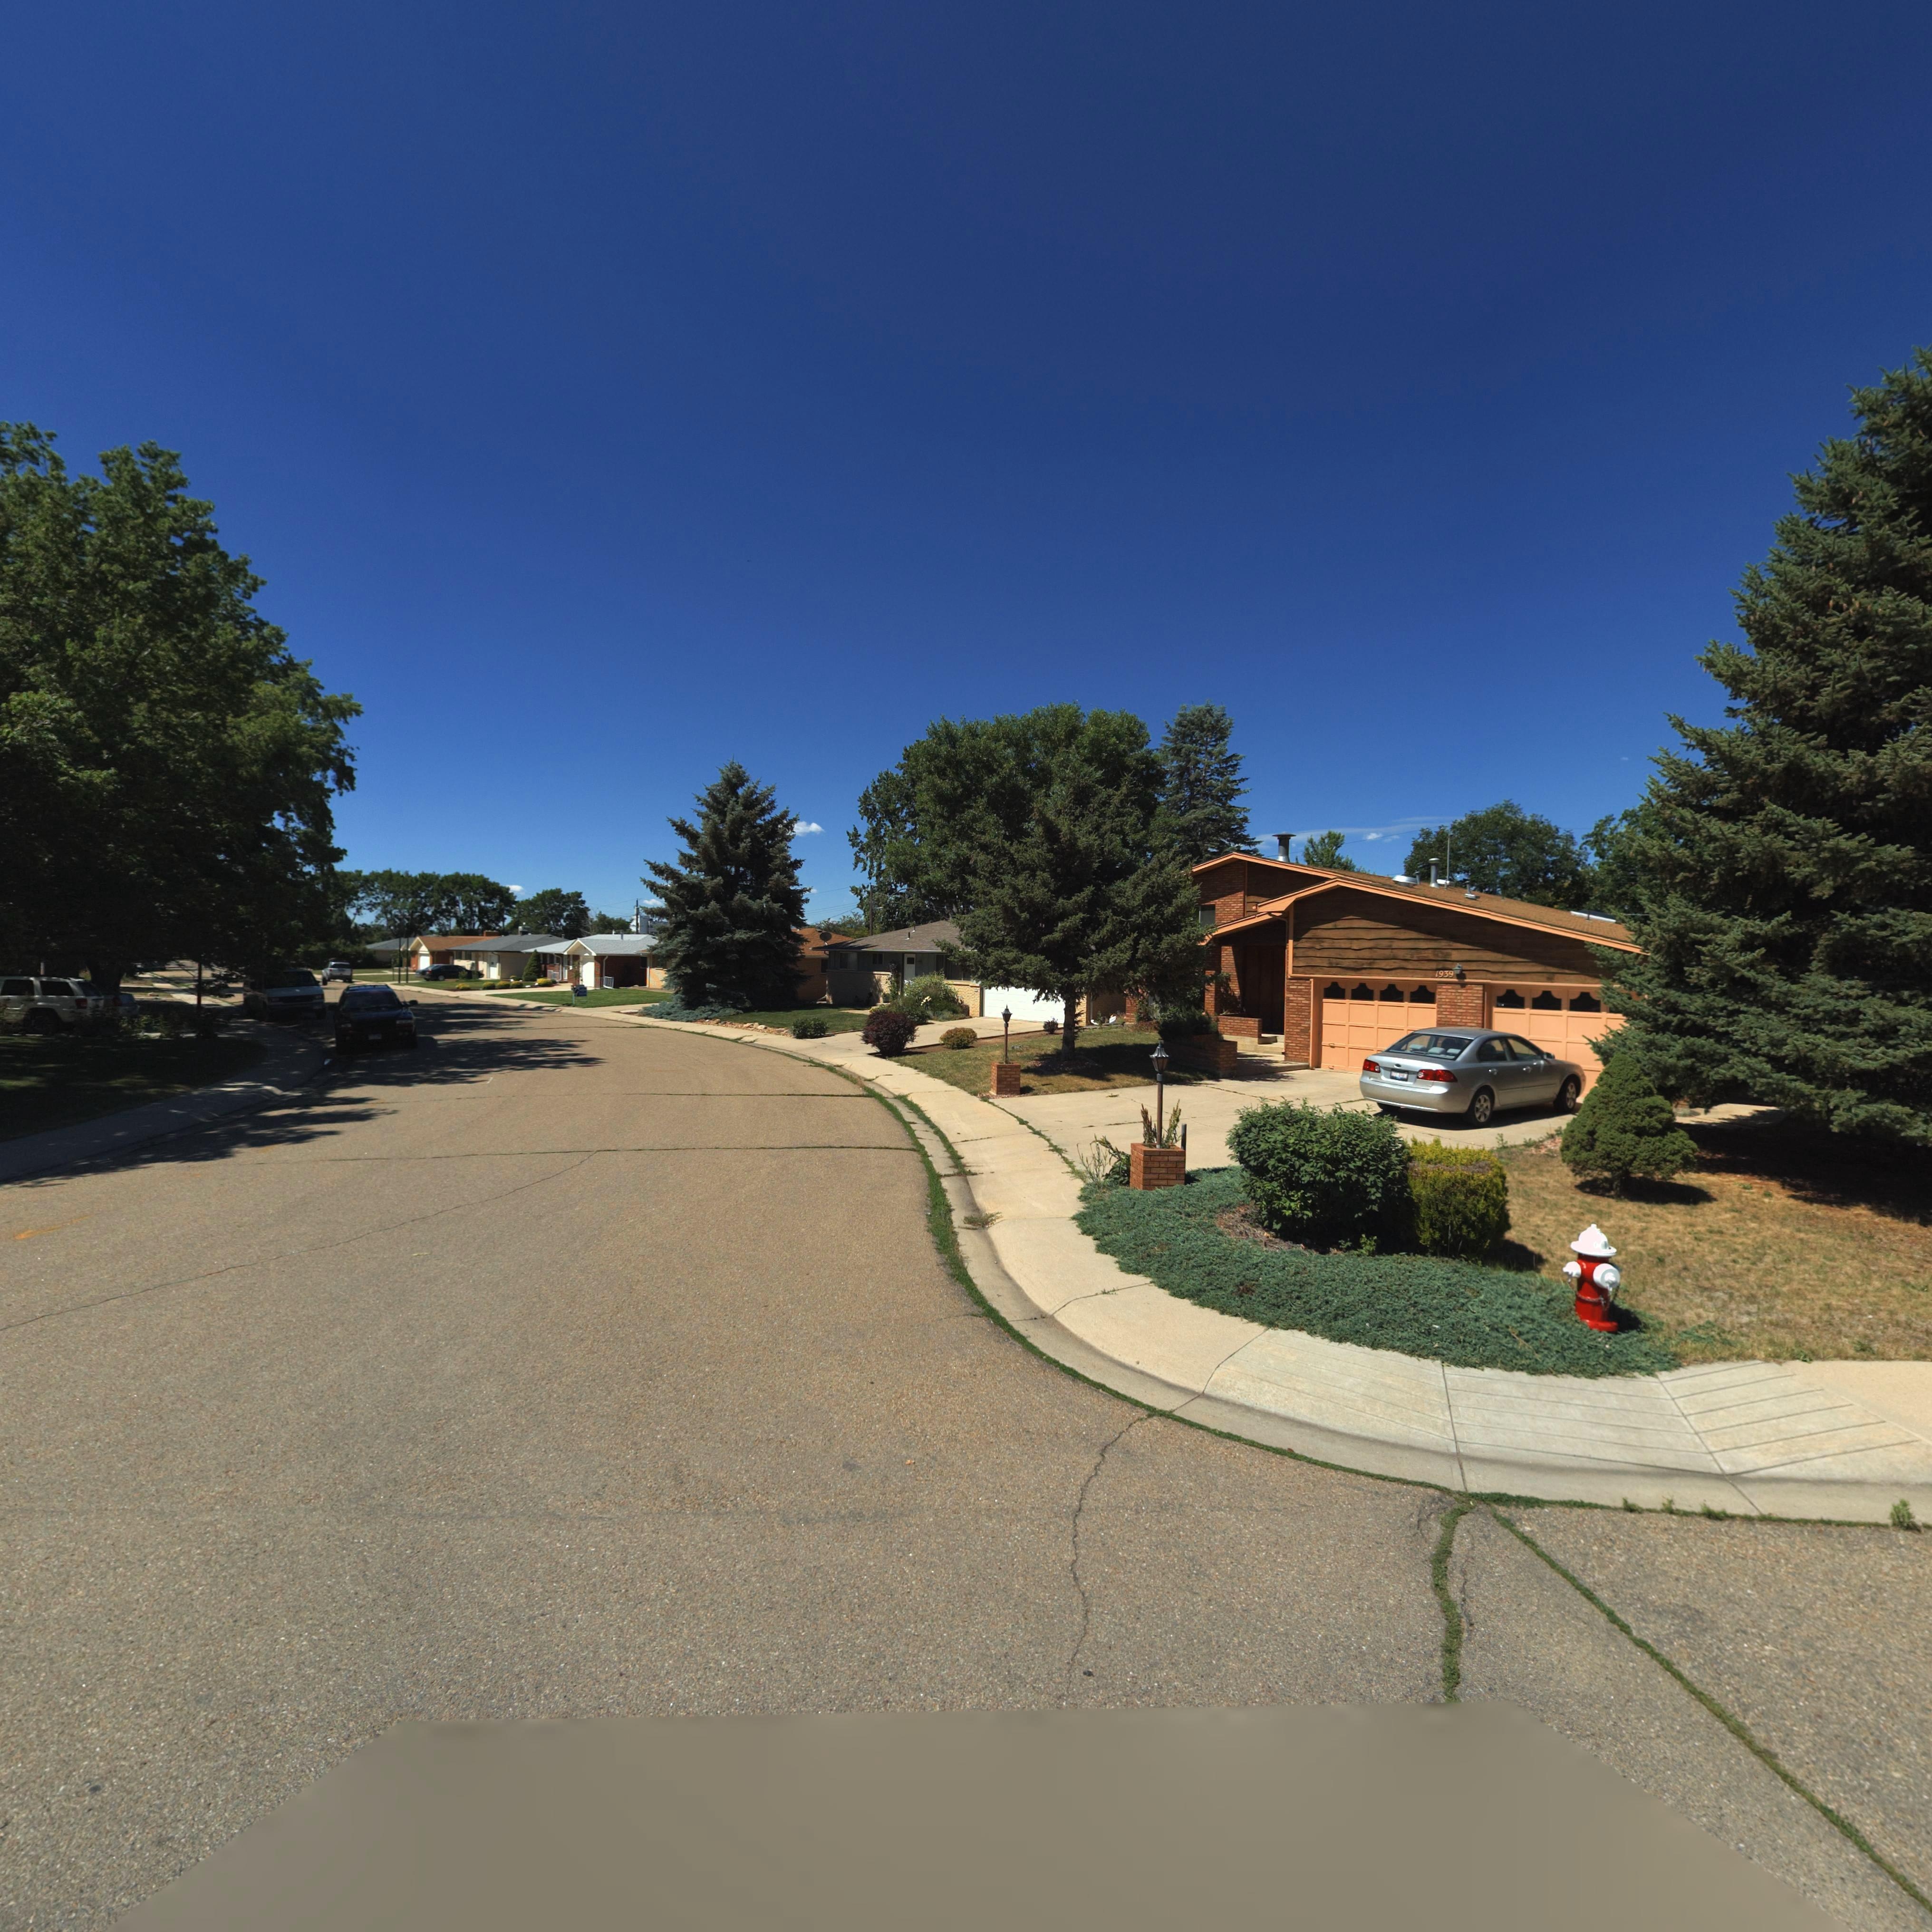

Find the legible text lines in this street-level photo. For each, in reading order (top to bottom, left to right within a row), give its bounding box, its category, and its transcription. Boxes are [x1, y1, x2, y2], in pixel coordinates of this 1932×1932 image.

[1435, 970, 1454, 978] StreetNumber: 1939